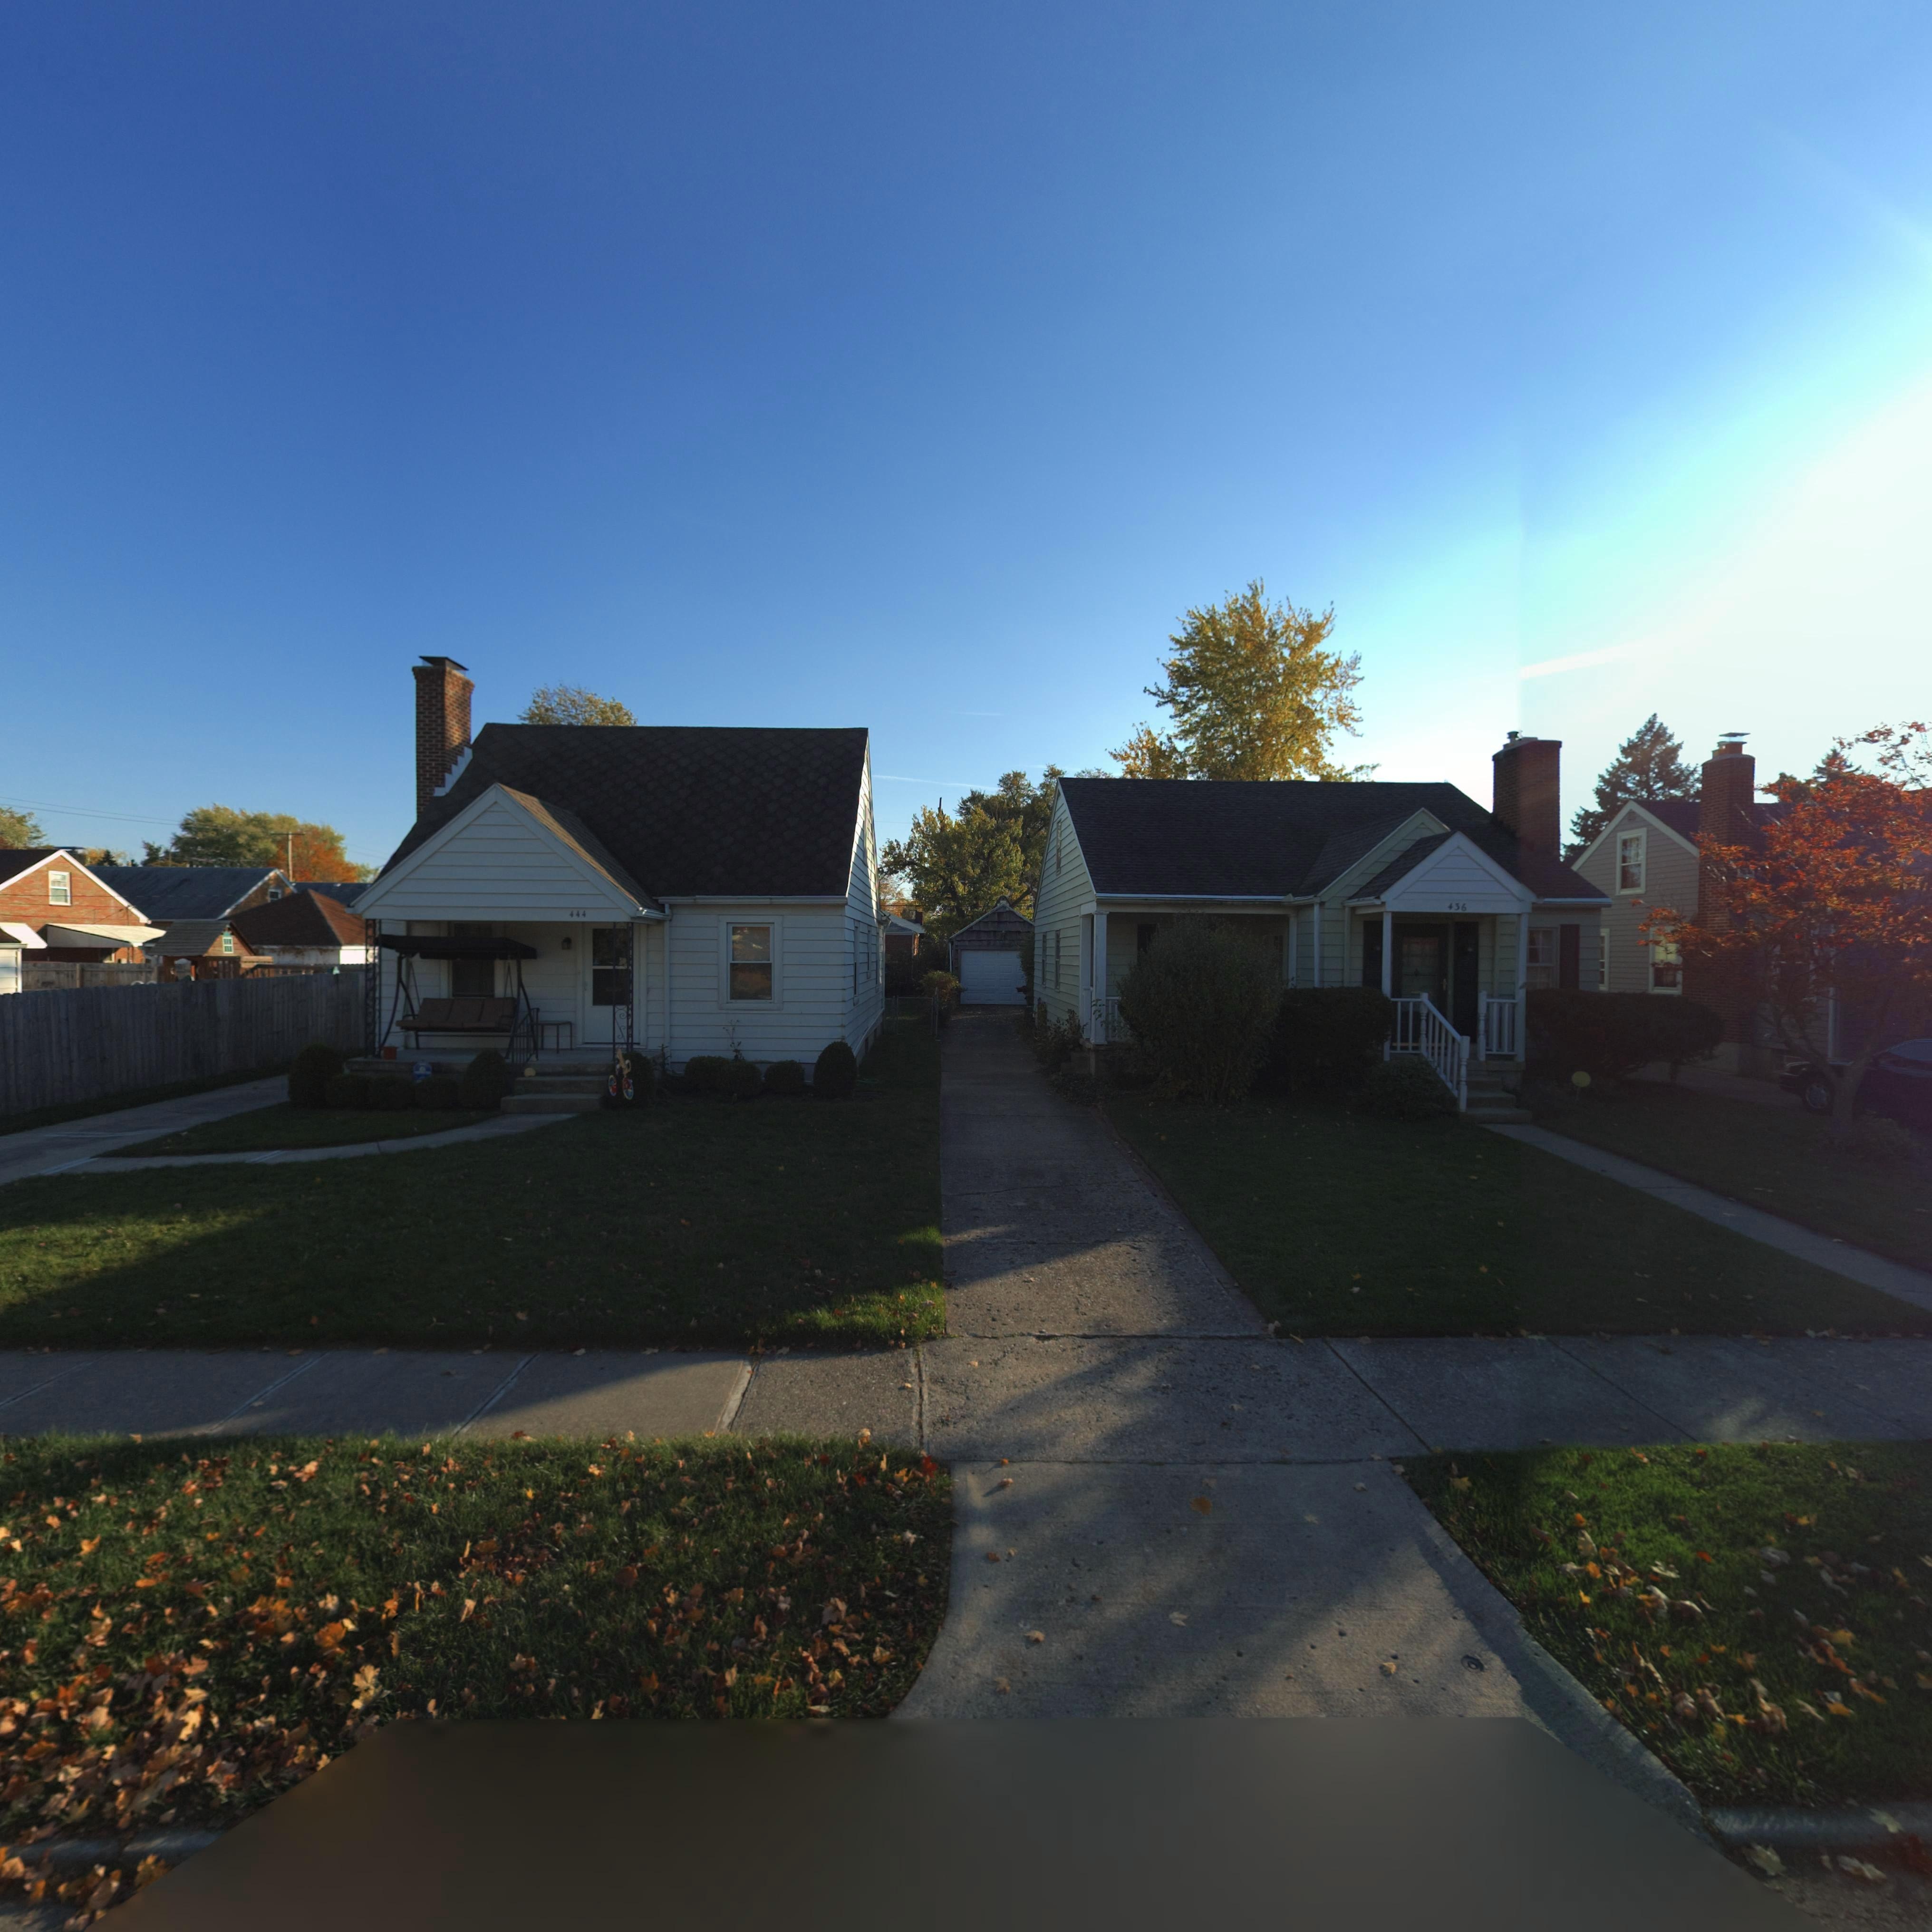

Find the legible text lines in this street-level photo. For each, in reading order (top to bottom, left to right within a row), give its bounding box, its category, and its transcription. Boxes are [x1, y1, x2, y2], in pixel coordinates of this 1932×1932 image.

[1447, 902, 1467, 911] StreetNumber: 436
[568, 909, 587, 918] StreetNumber: 444